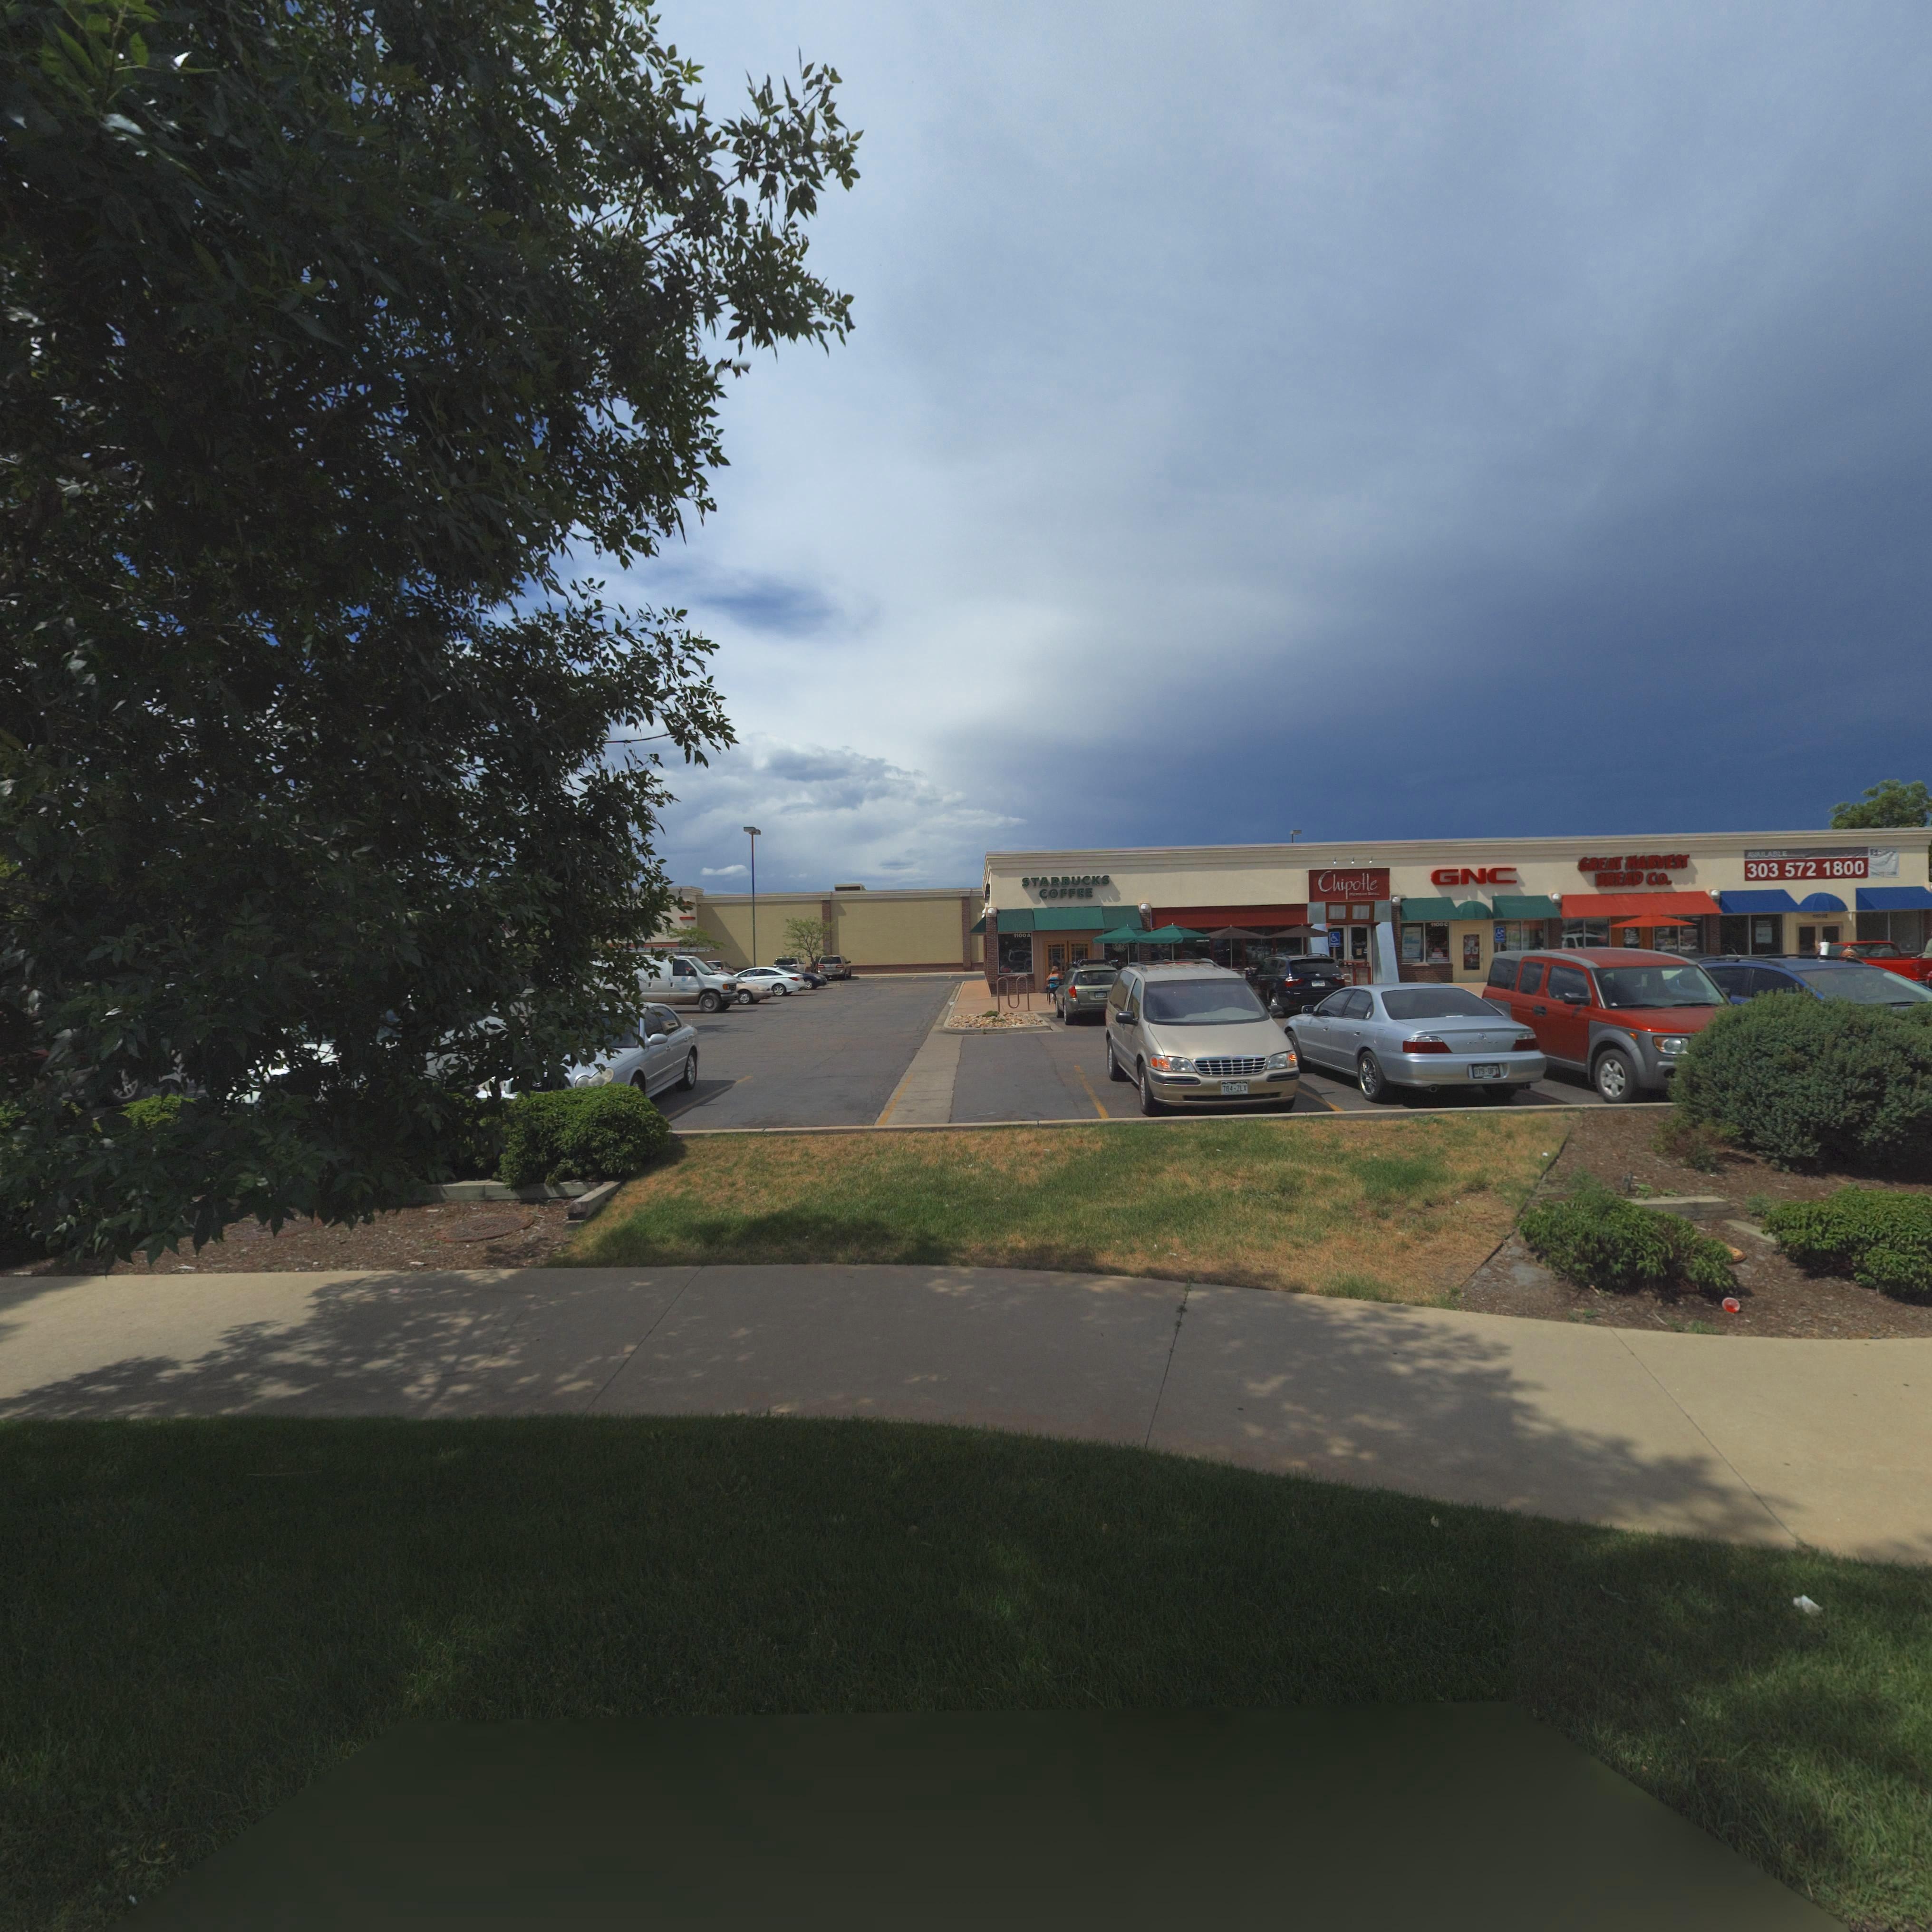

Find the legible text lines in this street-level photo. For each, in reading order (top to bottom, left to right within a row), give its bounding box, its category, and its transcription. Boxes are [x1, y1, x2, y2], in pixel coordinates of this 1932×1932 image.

[1578, 853, 1690, 871] BusinessName: GREAT HARVEST
[1021, 875, 1110, 888] BusinessName: STARBUCKS
[1317, 869, 1377, 899] BusinessName: Chipotle
[1430, 867, 1517, 885] BusinessName: GNC
[1595, 870, 1672, 887] BusinessName: BREAD Co.
[1039, 887, 1093, 899] BusinessName: COFFEE
[1349, 891, 1381, 896] BusinessName: MEXICAN GRILL
[1812, 914, 1825, 918] StreetNumber: 1100
[1825, 913, 1828, 918] SecondaryUnitDesignator: E
[1430, 921, 1444, 927] StreetNumber: 1100
[1444, 922, 1448, 927] SecondaryUnitDesignator: C
[1013, 933, 1026, 937] StreetNumber: 1100
[1026, 933, 1031, 937] SecondaryUnitDesignator: A
[1351, 940, 1367, 947] BusinessName: Chipotle